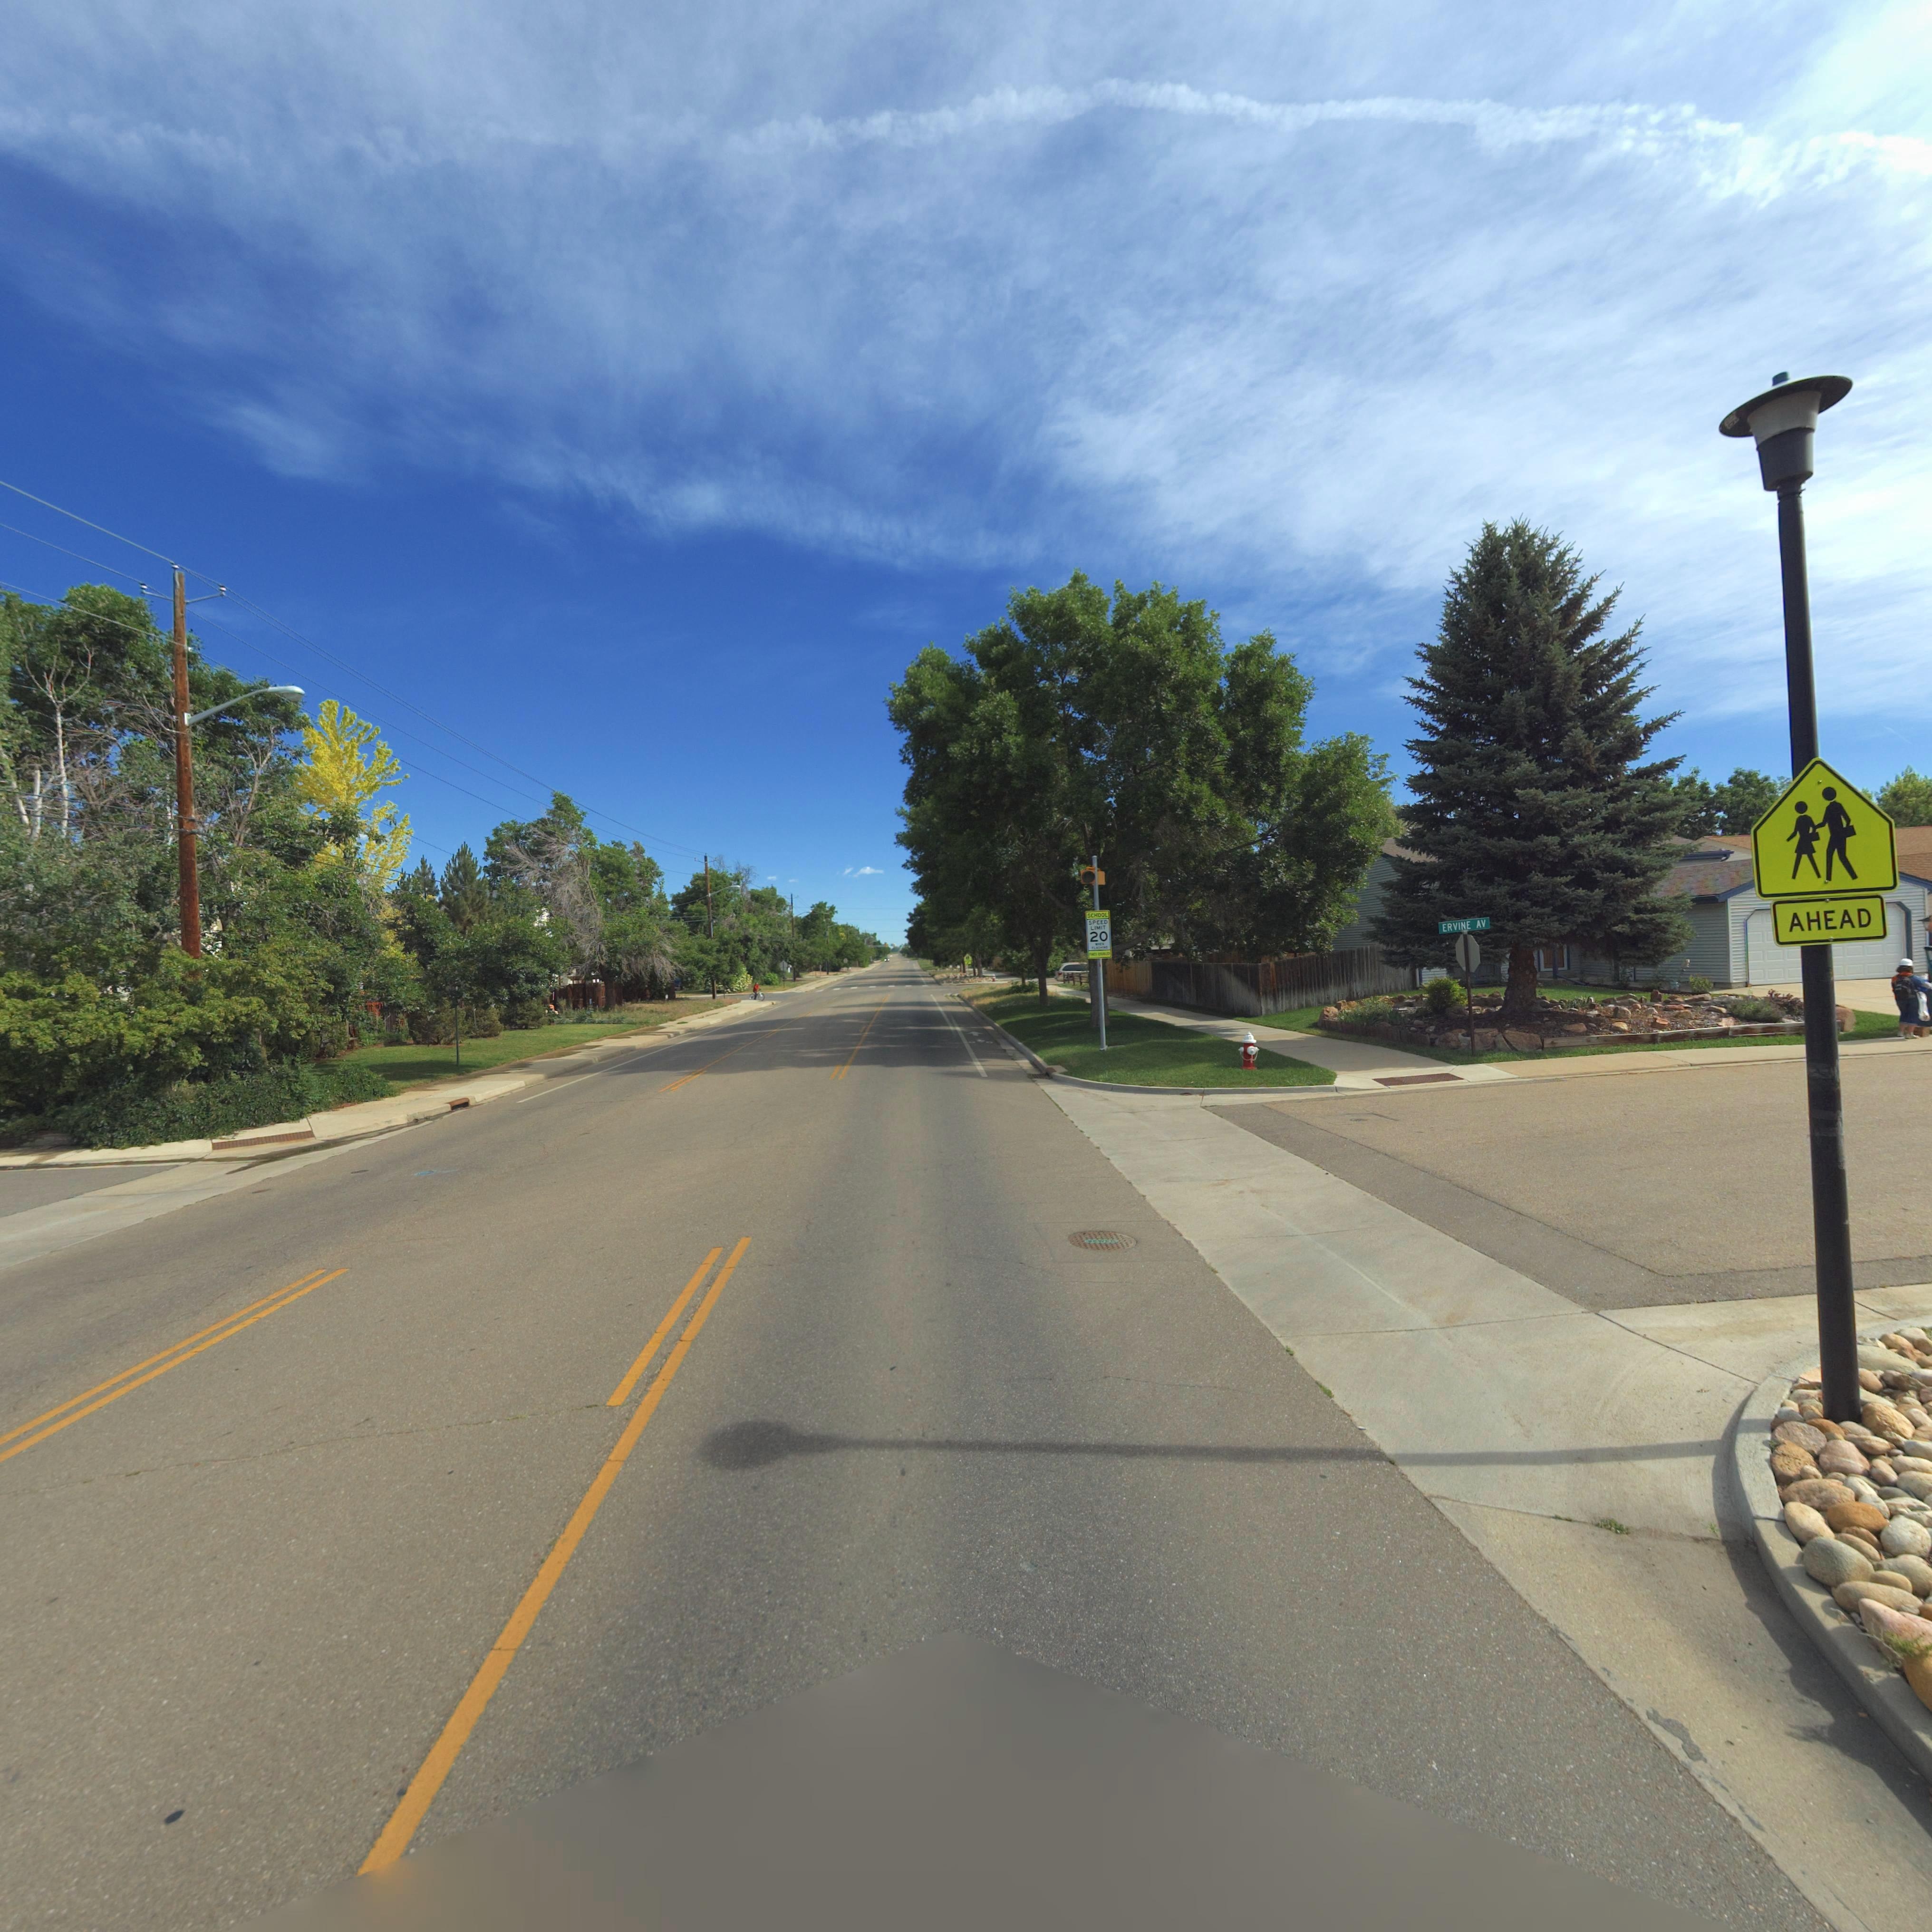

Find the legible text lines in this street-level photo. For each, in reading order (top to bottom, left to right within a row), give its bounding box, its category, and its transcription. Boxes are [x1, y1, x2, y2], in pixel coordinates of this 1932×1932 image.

[1441, 918, 1486, 933] StreetName: ERVINE AV
[1787, 907, 1873, 932] BusinessName: AHEAD